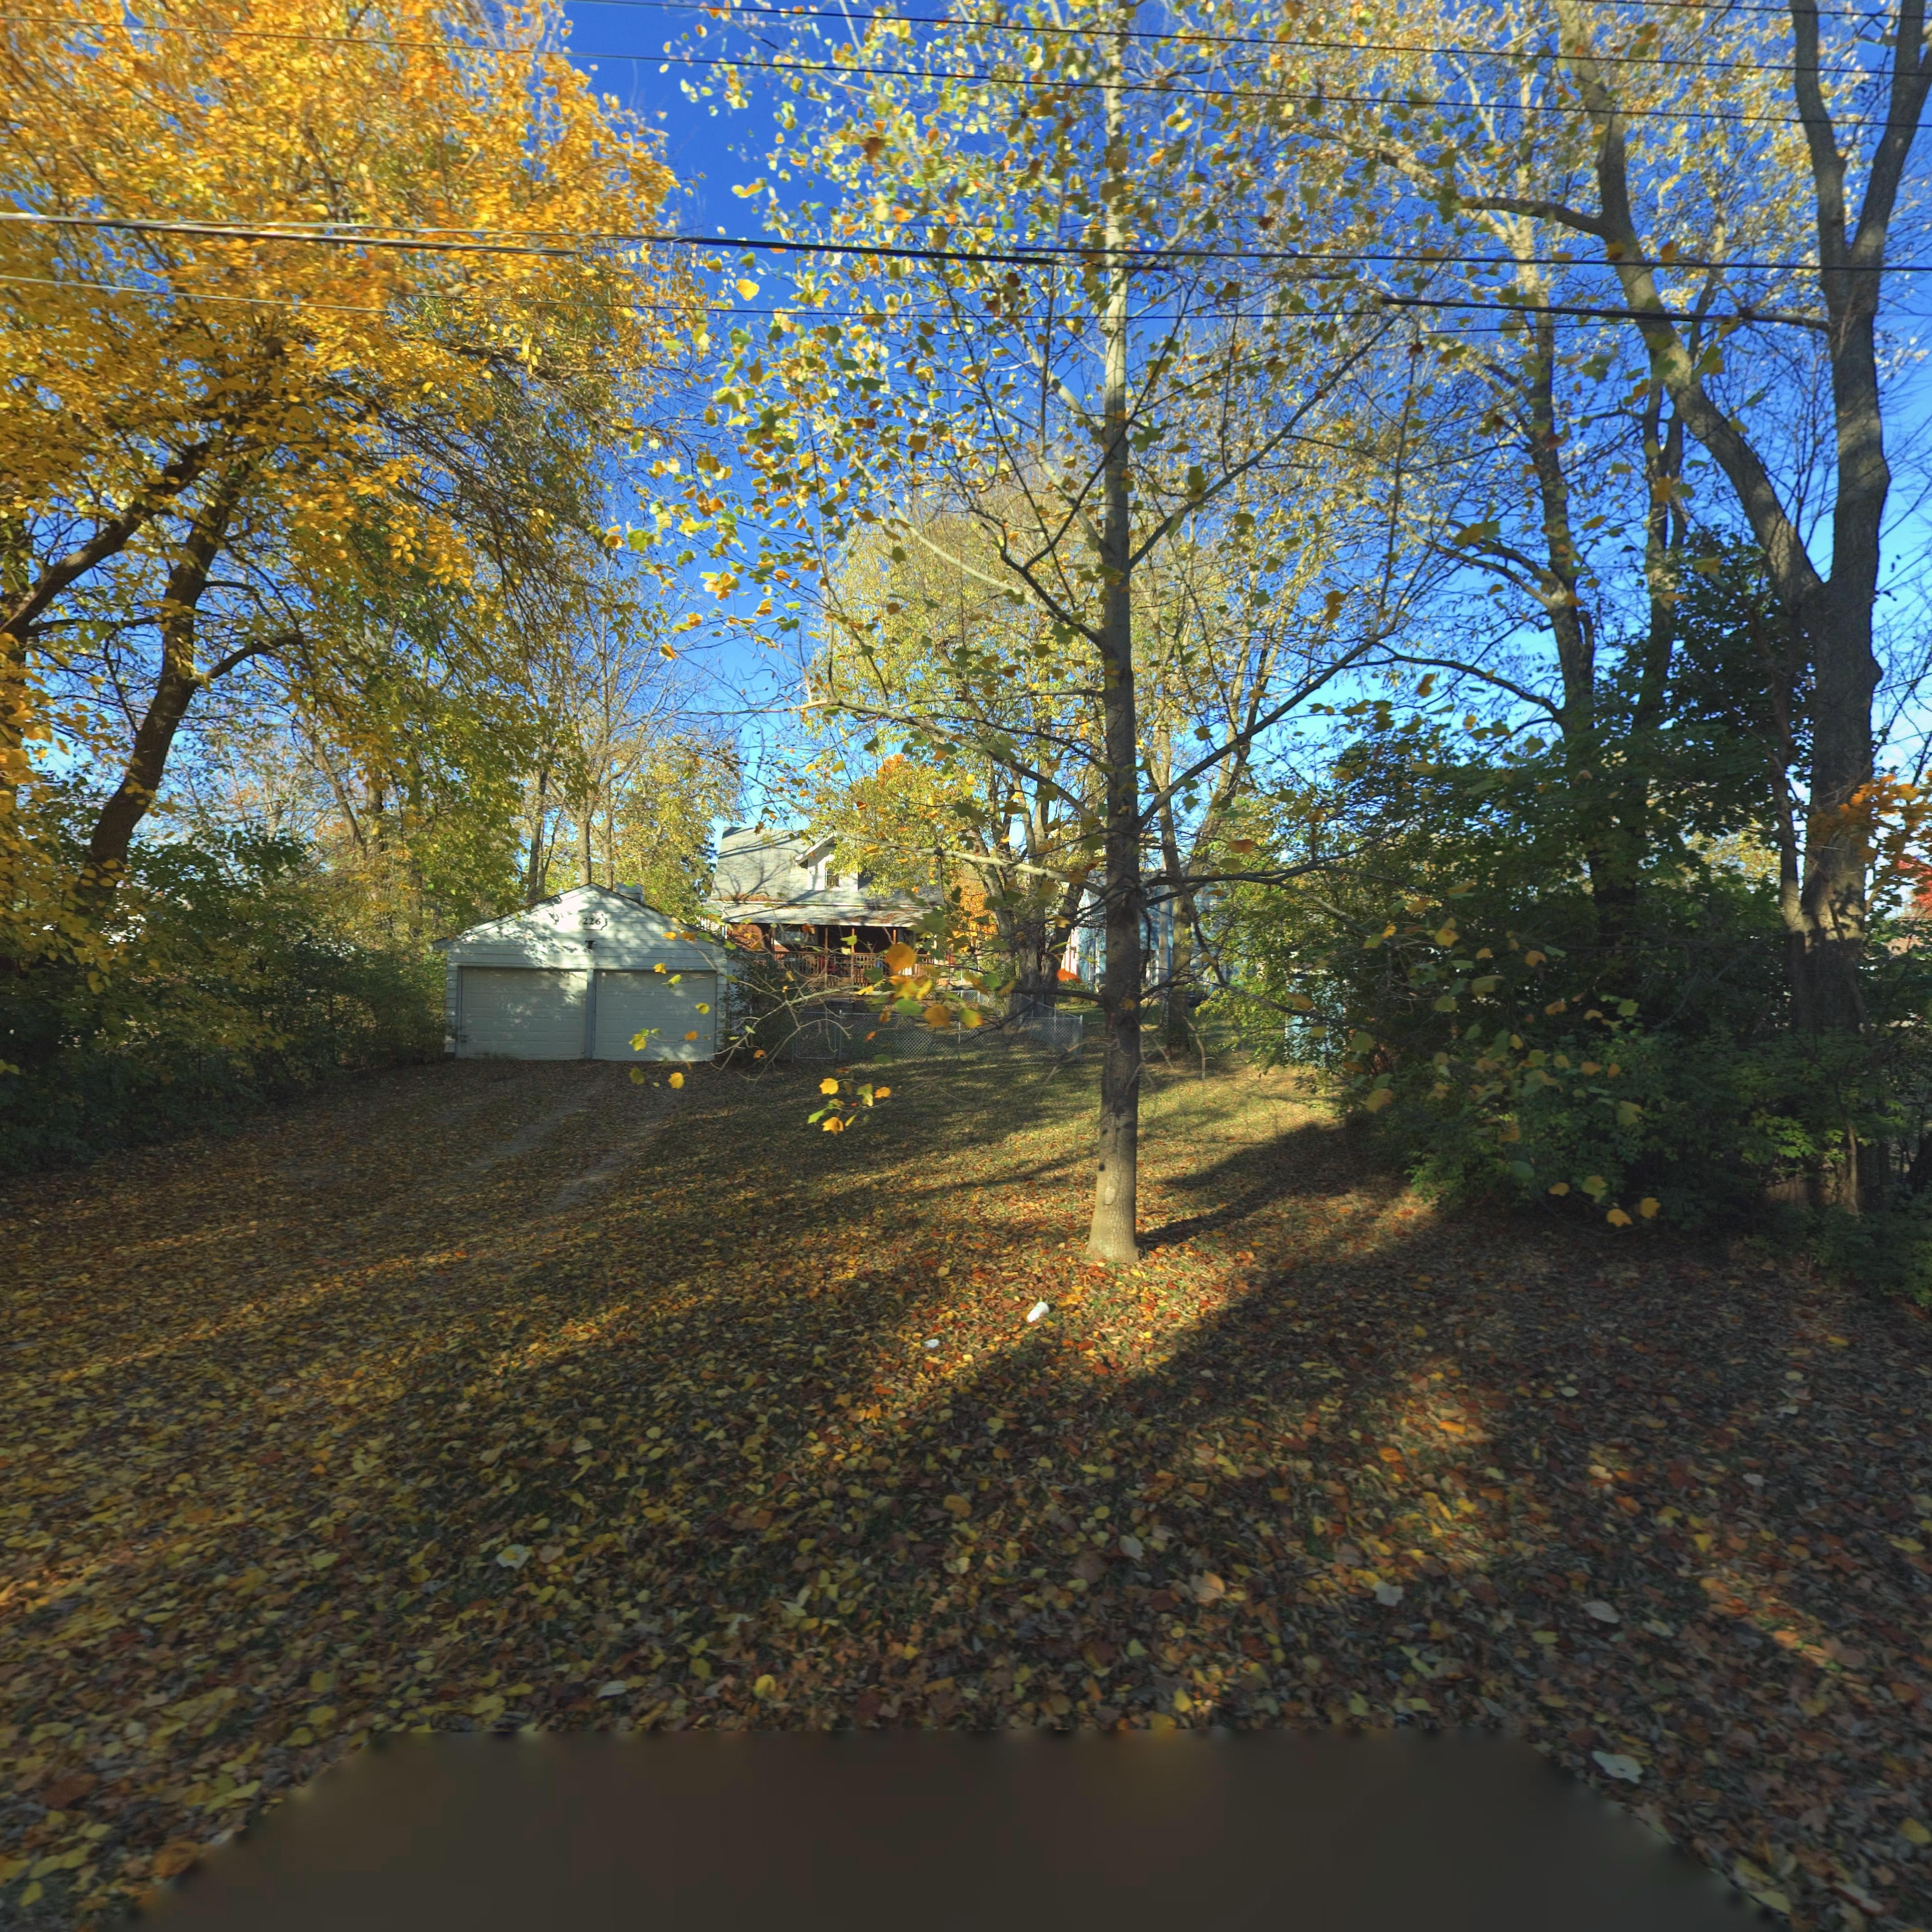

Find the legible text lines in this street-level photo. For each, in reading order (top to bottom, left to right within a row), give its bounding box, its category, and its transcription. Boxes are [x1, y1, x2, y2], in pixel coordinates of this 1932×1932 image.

[582, 917, 601, 925] StreetNumber: 226